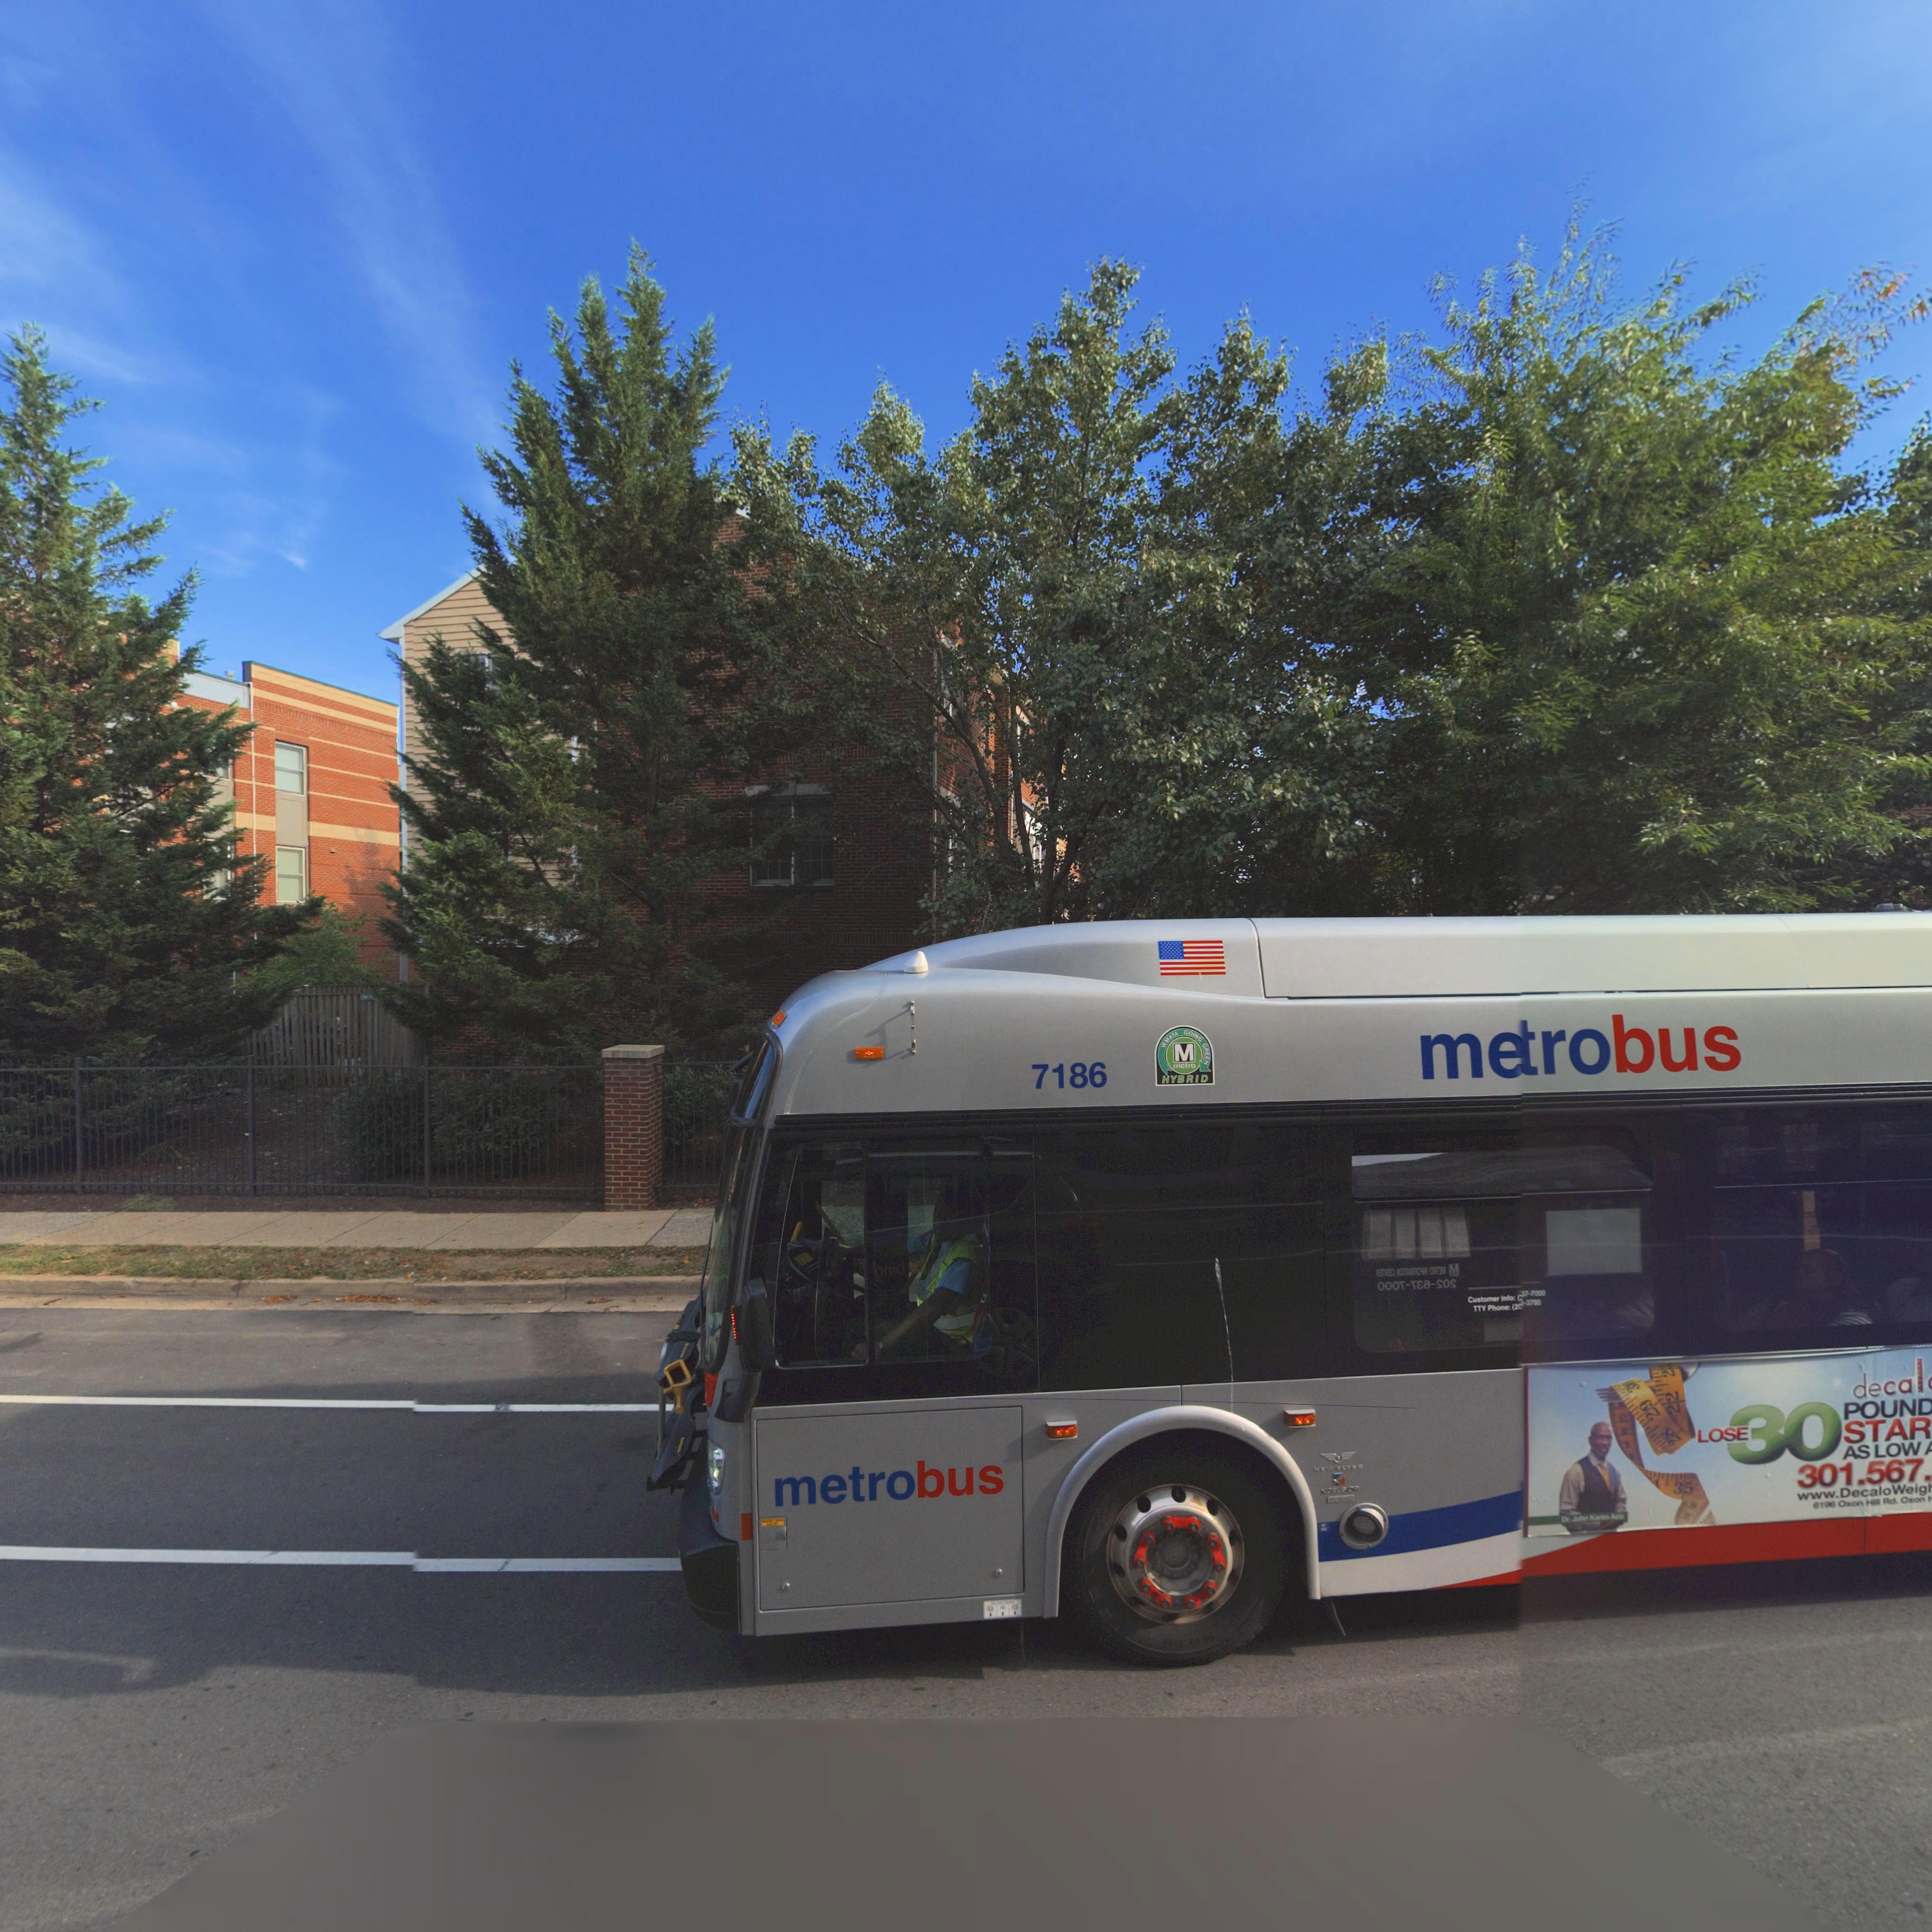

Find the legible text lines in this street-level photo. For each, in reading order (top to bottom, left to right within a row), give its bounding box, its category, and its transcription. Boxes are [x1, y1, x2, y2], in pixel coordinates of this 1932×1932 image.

[1158, 1028, 1211, 1067] None: WMA*A GOING GREEN
[1173, 1042, 1196, 1063] None: M
[1418, 1010, 1744, 1083] None: m**robus
[1029, 1060, 1109, 1092] None: 7186
[1172, 1062, 1197, 1070] None: metro
[1160, 1073, 1209, 1085] None: HYBRID
[1449, 1264, 1459, 1274] None: M
[1376, 1277, 1459, 1292] None: 000*-***-*0*
[1466, 1293, 1517, 1305] None: Customer Info:
[1471, 1303, 1512, 1313] None: TTY Phone:
[1524, 1297, 1543, 1307] None: 3780
[1520, 1288, 1548, 1298] None: 37-7000
[1621, 1379, 1642, 1395] None: 0*\
[1660, 1367, 1677, 1380] None: 2
[1851, 1354, 1927, 1401] None: decal
[1663, 1389, 1682, 1417] None: 22
[1841, 1395, 1919, 1422] None: POUN
[1659, 1426, 1683, 1448] None: 8*
[1696, 1425, 1751, 1445] None: LOSE
[1724, 1399, 1845, 1468] None: 30
[1842, 1414, 1932, 1446] None: STAR
[1840, 1438, 1924, 1463] None: AS LOW
[771, 1457, 1007, 1510] None: metrobus
[1313, 1463, 1365, 1474] None: NEW FLYER
[1671, 1479, 1695, 1497] None: 35
[1795, 1456, 1927, 1491] None: 301.567
[1795, 1481, 1929, 1503] None: www.DecaloWeig
[1812, 1495, 1928, 1511] None: 6196 Oxon Hill Rd. Oxon